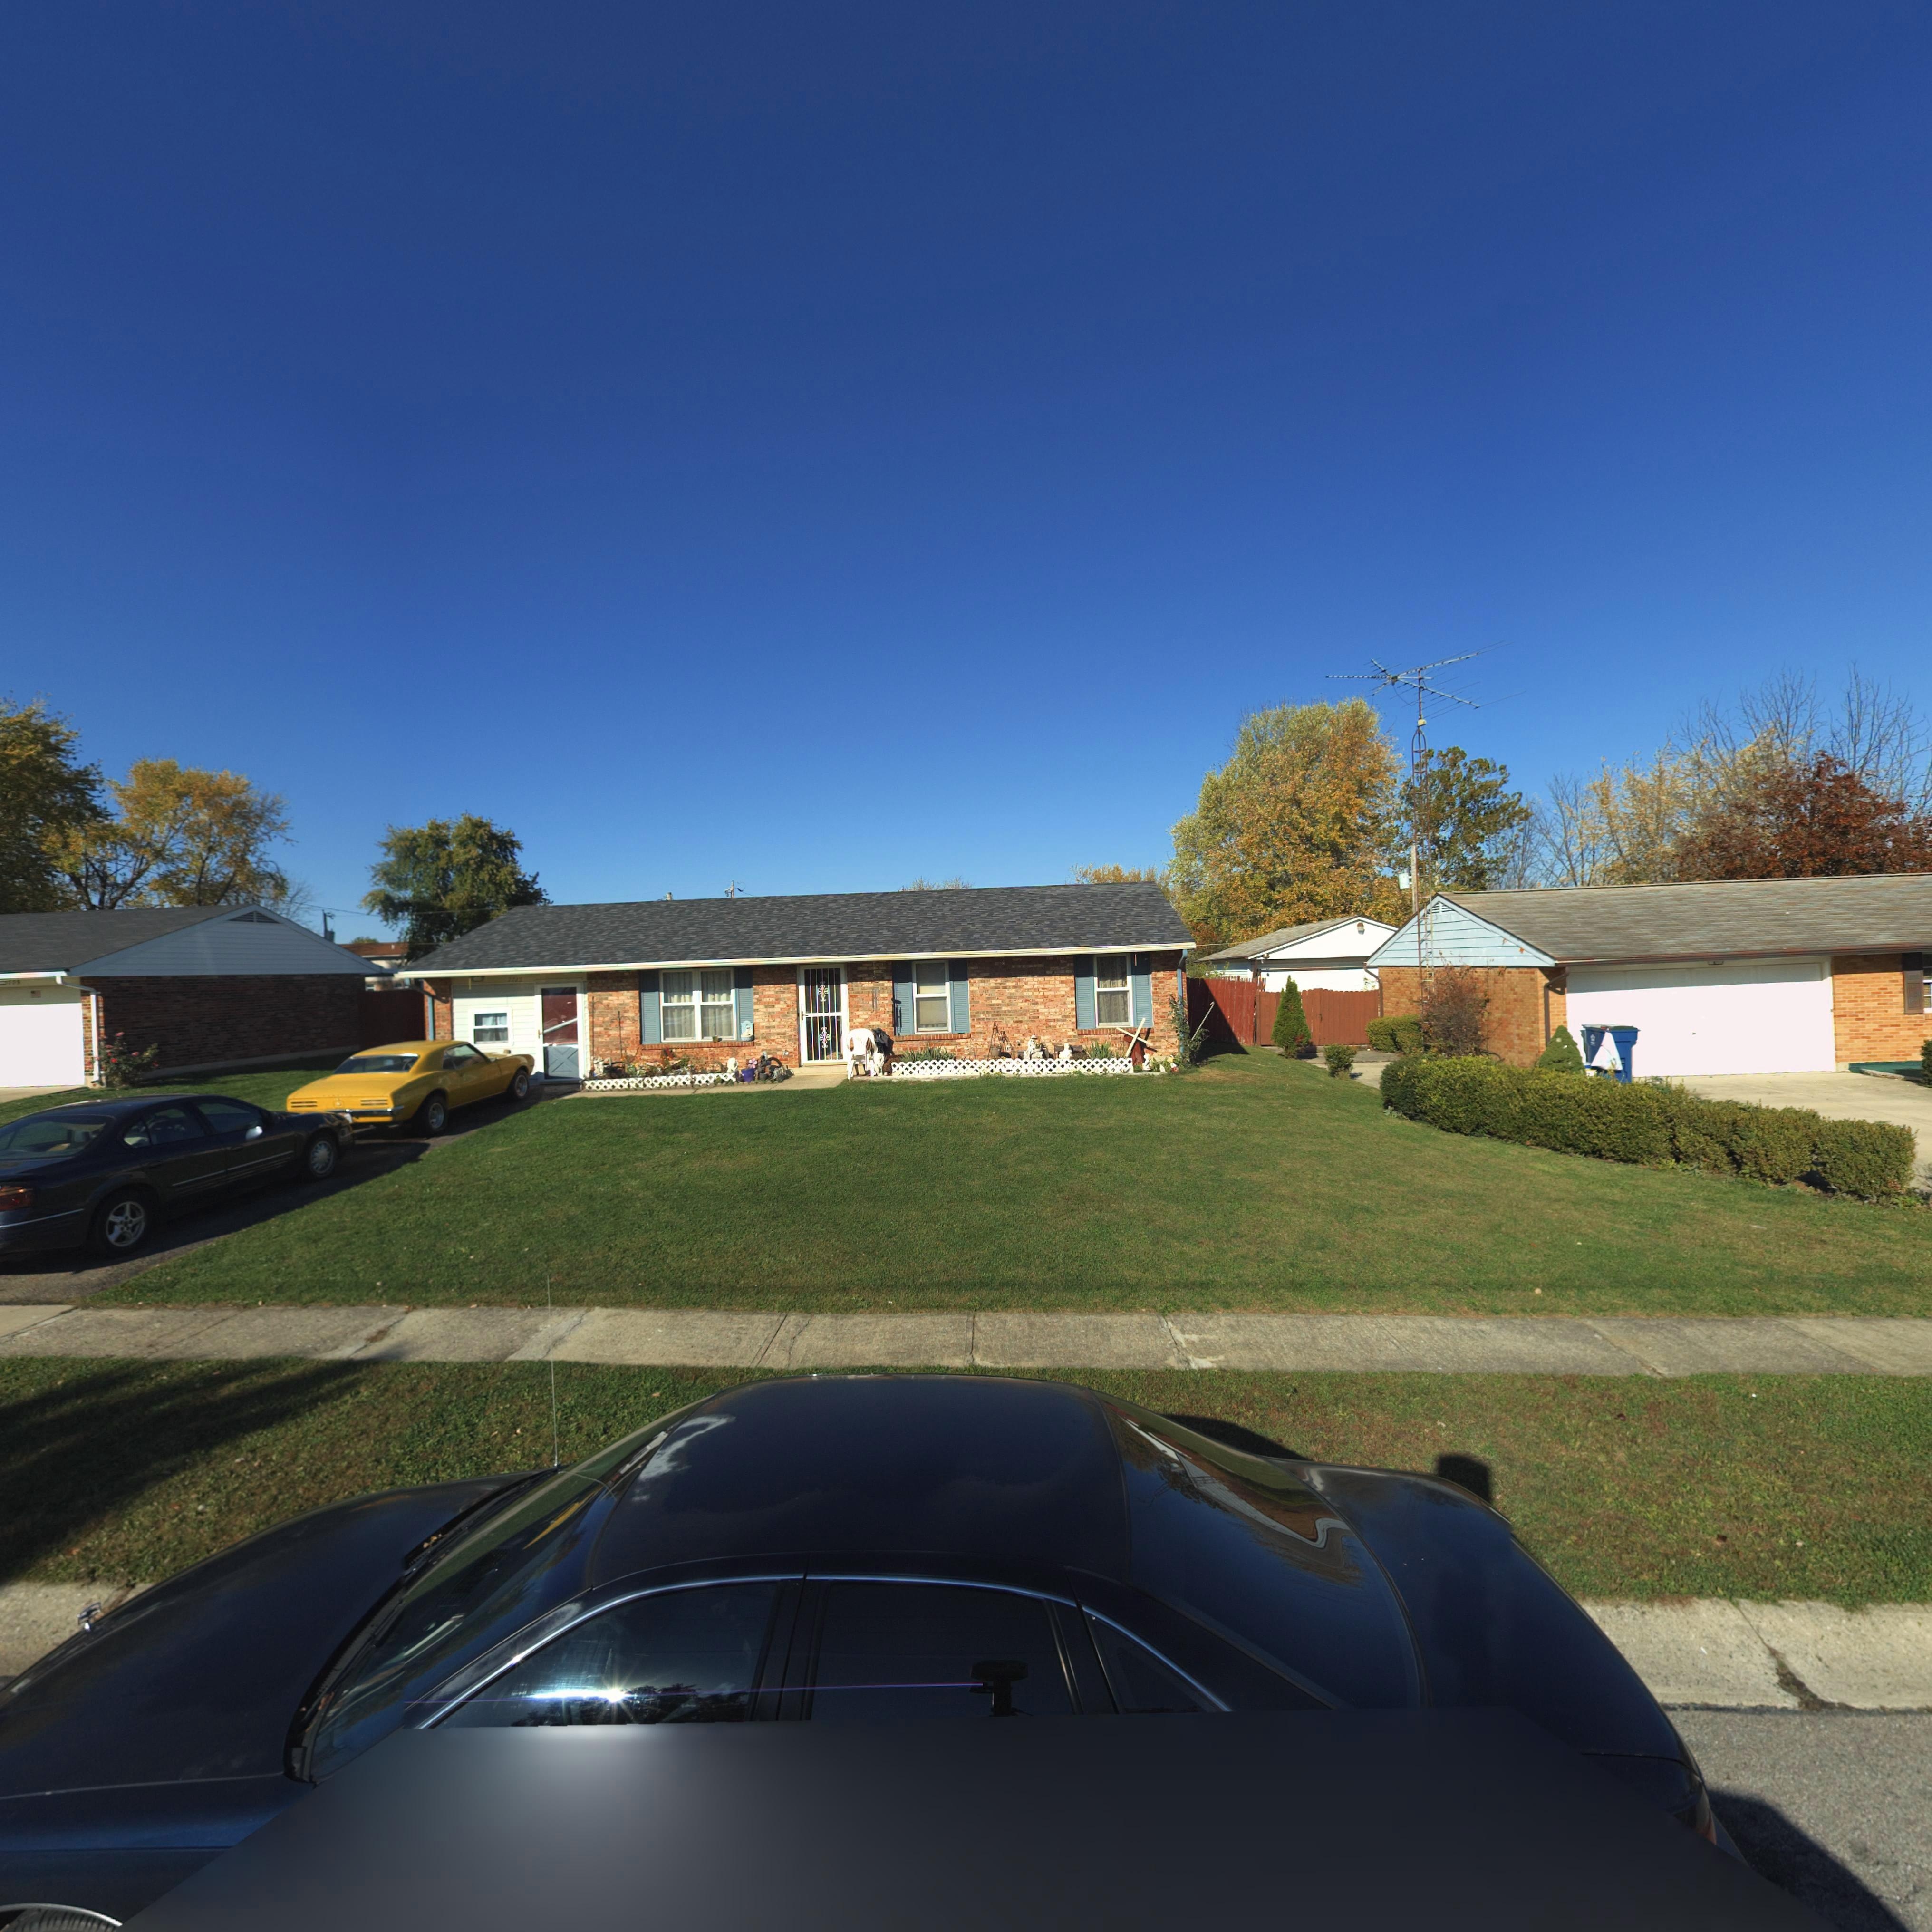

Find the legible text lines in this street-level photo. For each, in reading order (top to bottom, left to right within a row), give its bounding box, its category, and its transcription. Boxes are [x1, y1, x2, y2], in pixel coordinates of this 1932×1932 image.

[506, 976, 523, 983] StreetNumber: 771*